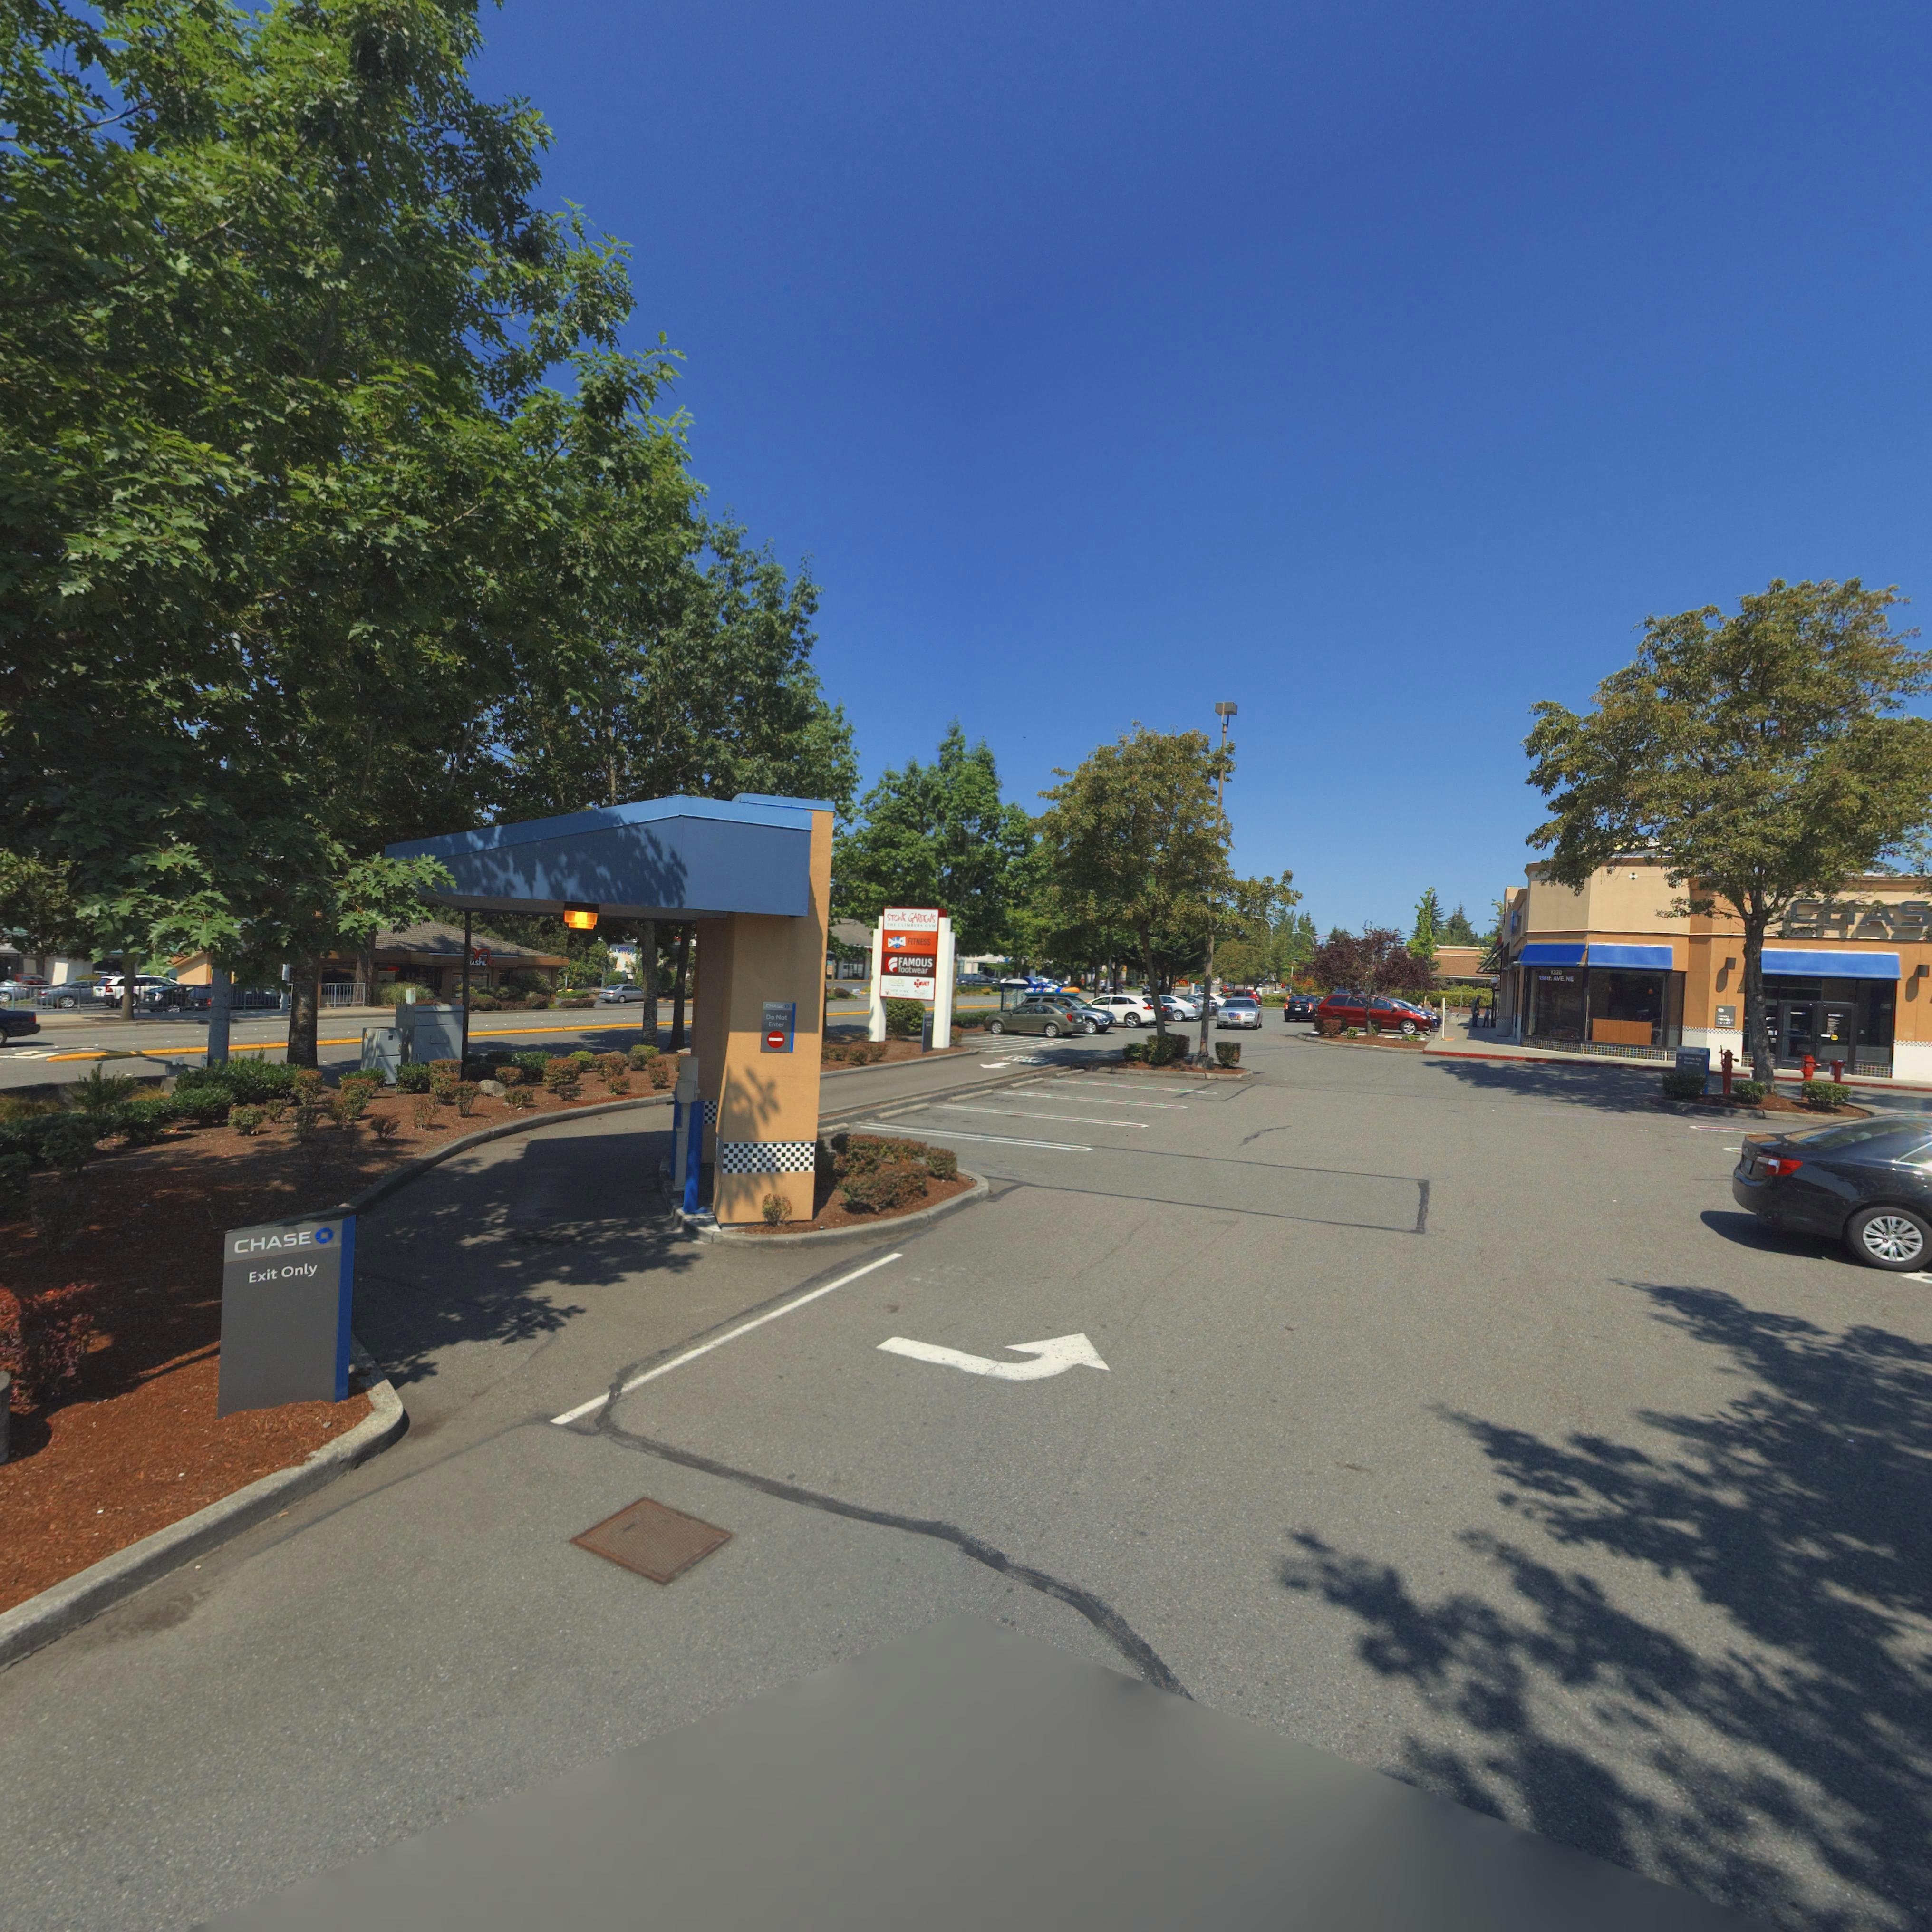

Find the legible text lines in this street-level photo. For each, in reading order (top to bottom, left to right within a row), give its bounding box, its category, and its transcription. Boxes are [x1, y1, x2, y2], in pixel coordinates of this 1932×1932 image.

[887, 912, 936, 923] BusinessName: ST**K GA***S
[1790, 899, 1931, 927] BusinessName: CHAS
[908, 937, 930, 945] BusinessName: FITNESS
[469, 956, 486, 965] BusinessName: ushi
[898, 966, 928, 974] BusinessName: footwear
[1551, 970, 1562, 975] StreetNumber: 1320
[1539, 976, 1574, 981] StreetName: 156th AVE NE
[766, 1004, 784, 1008] BusinessName: CHASE
[234, 1231, 311, 1253] BusinessName: CHASE
[249, 1263, 318, 1283] BusinessName: Exit Only